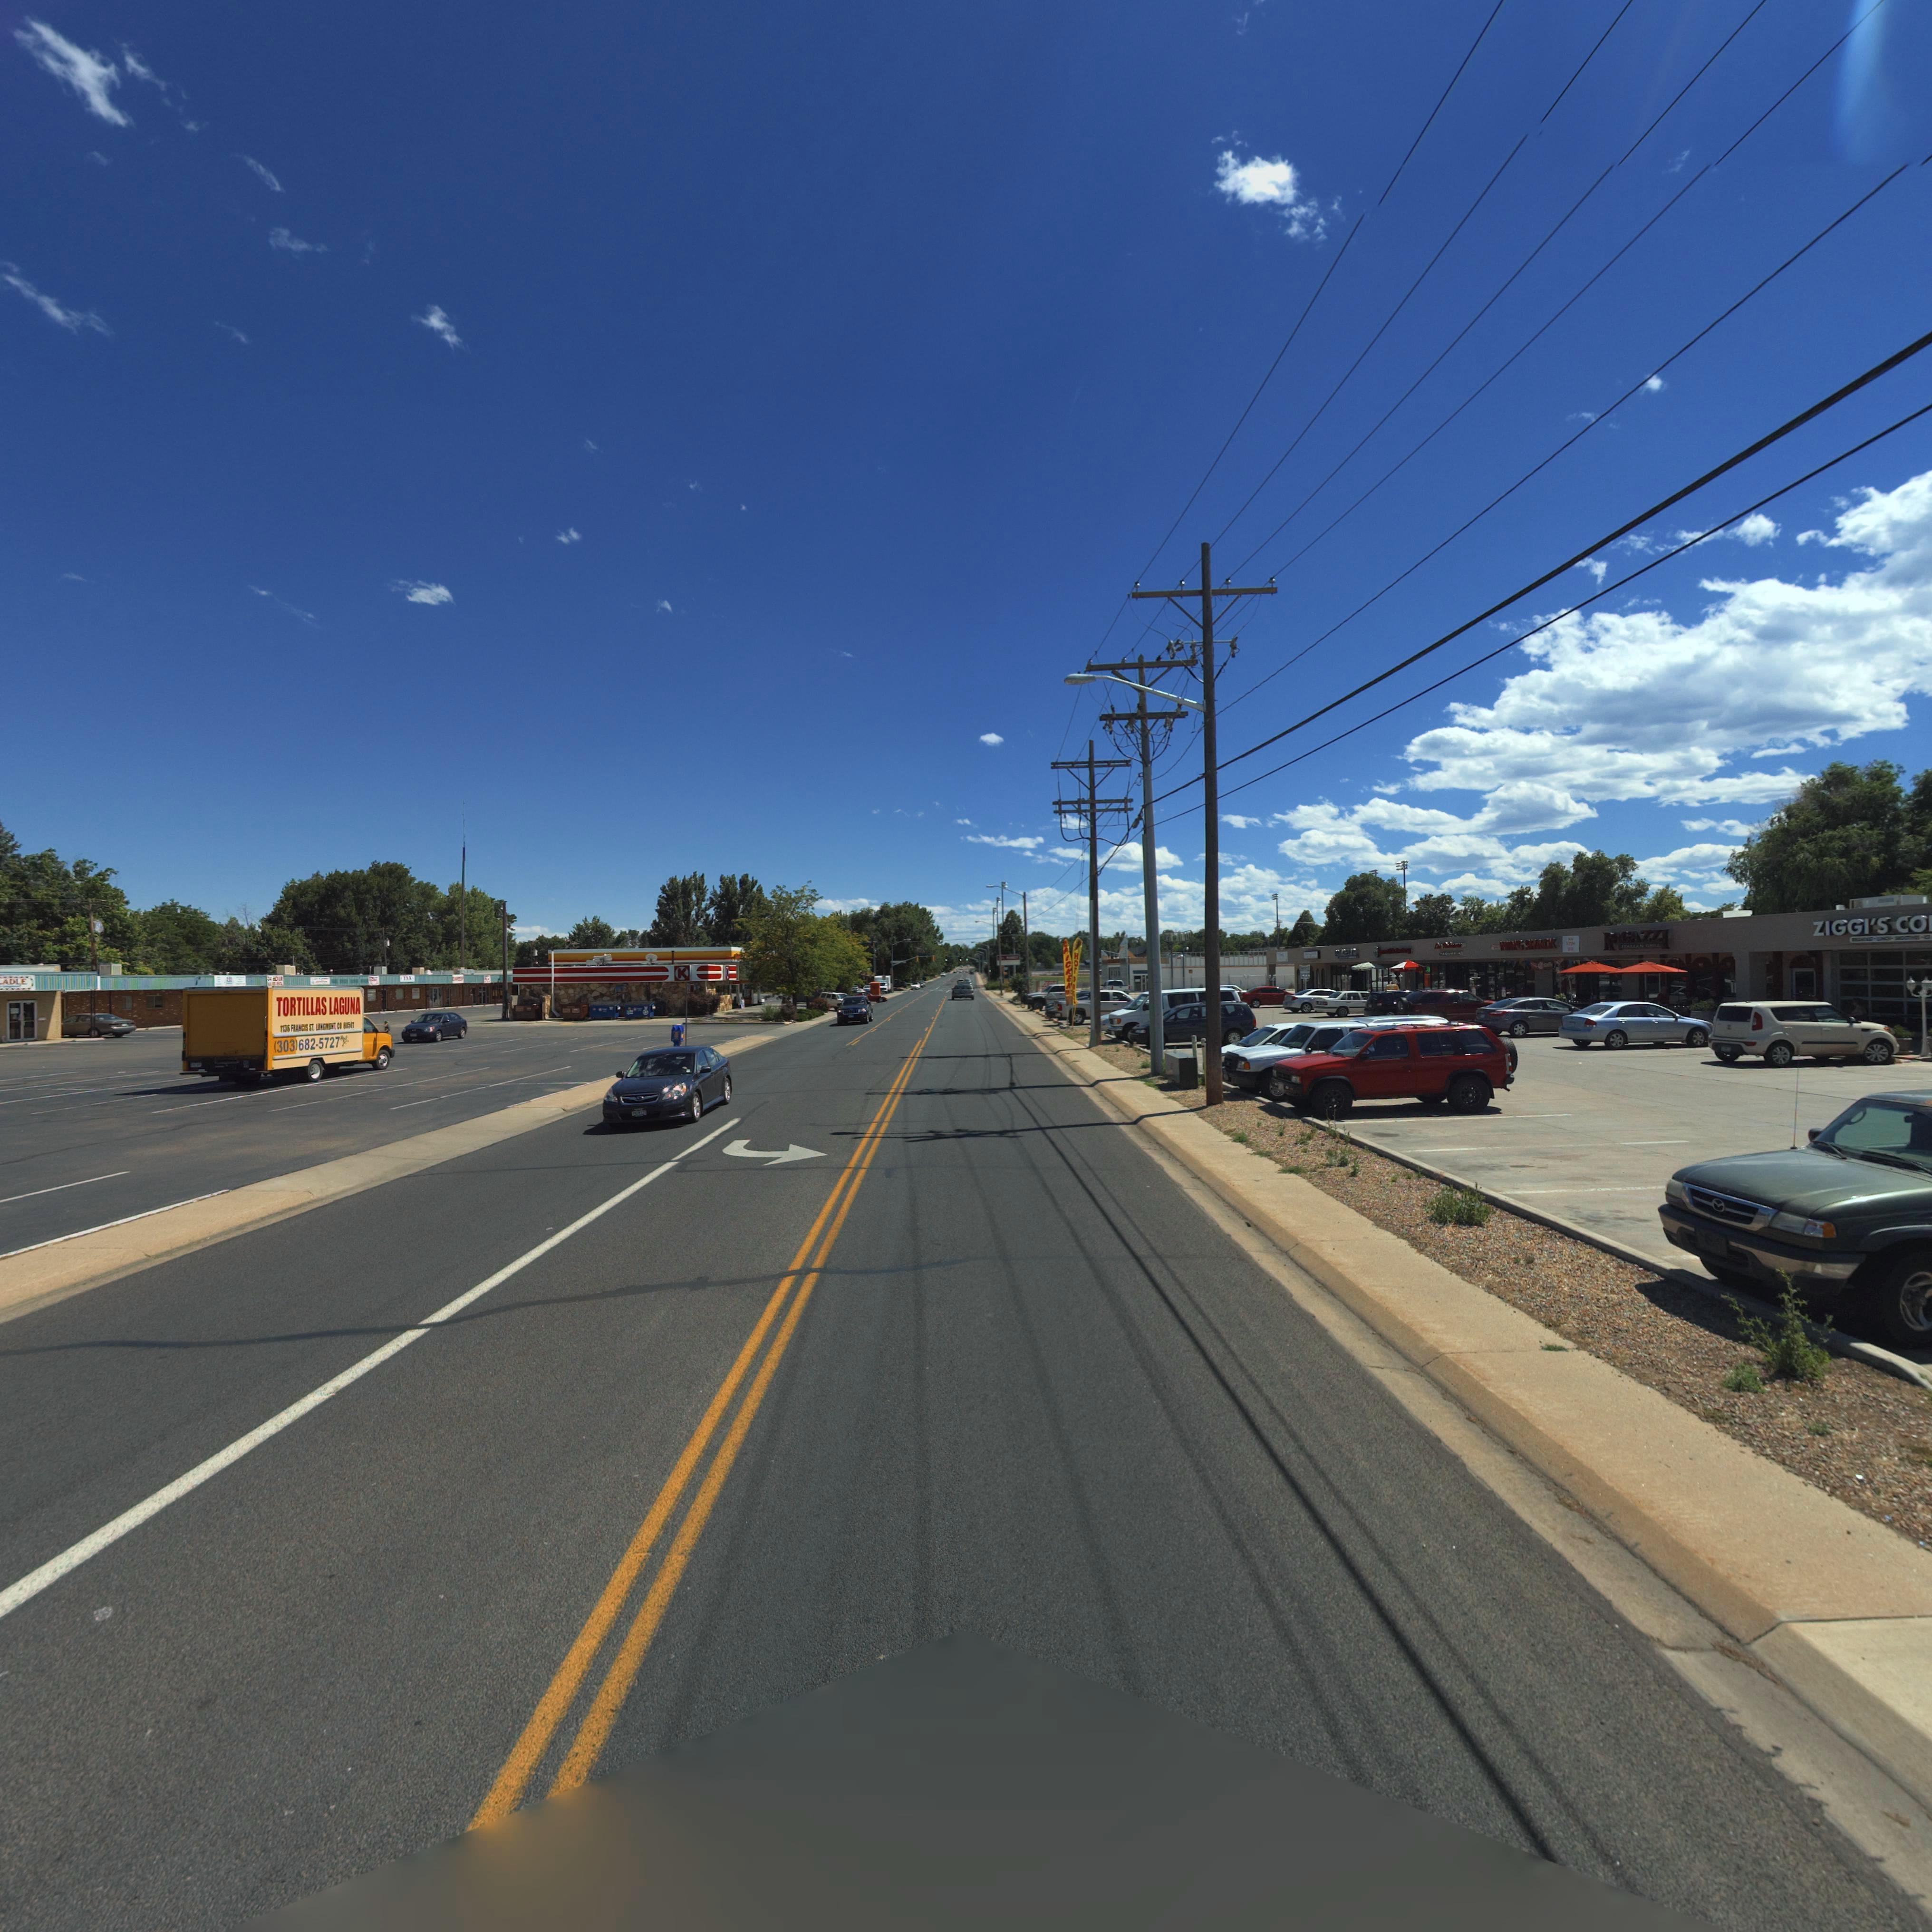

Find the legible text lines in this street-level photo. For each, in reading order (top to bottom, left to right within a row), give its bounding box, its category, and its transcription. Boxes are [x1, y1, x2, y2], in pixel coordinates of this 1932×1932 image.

[1813, 915, 1927, 937] BusinessName: ZIGGI'S CO
[1498, 937, 1556, 951] BusinessName: WING SHACK
[1602, 928, 1670, 951] BusinessName: RAGAZZI